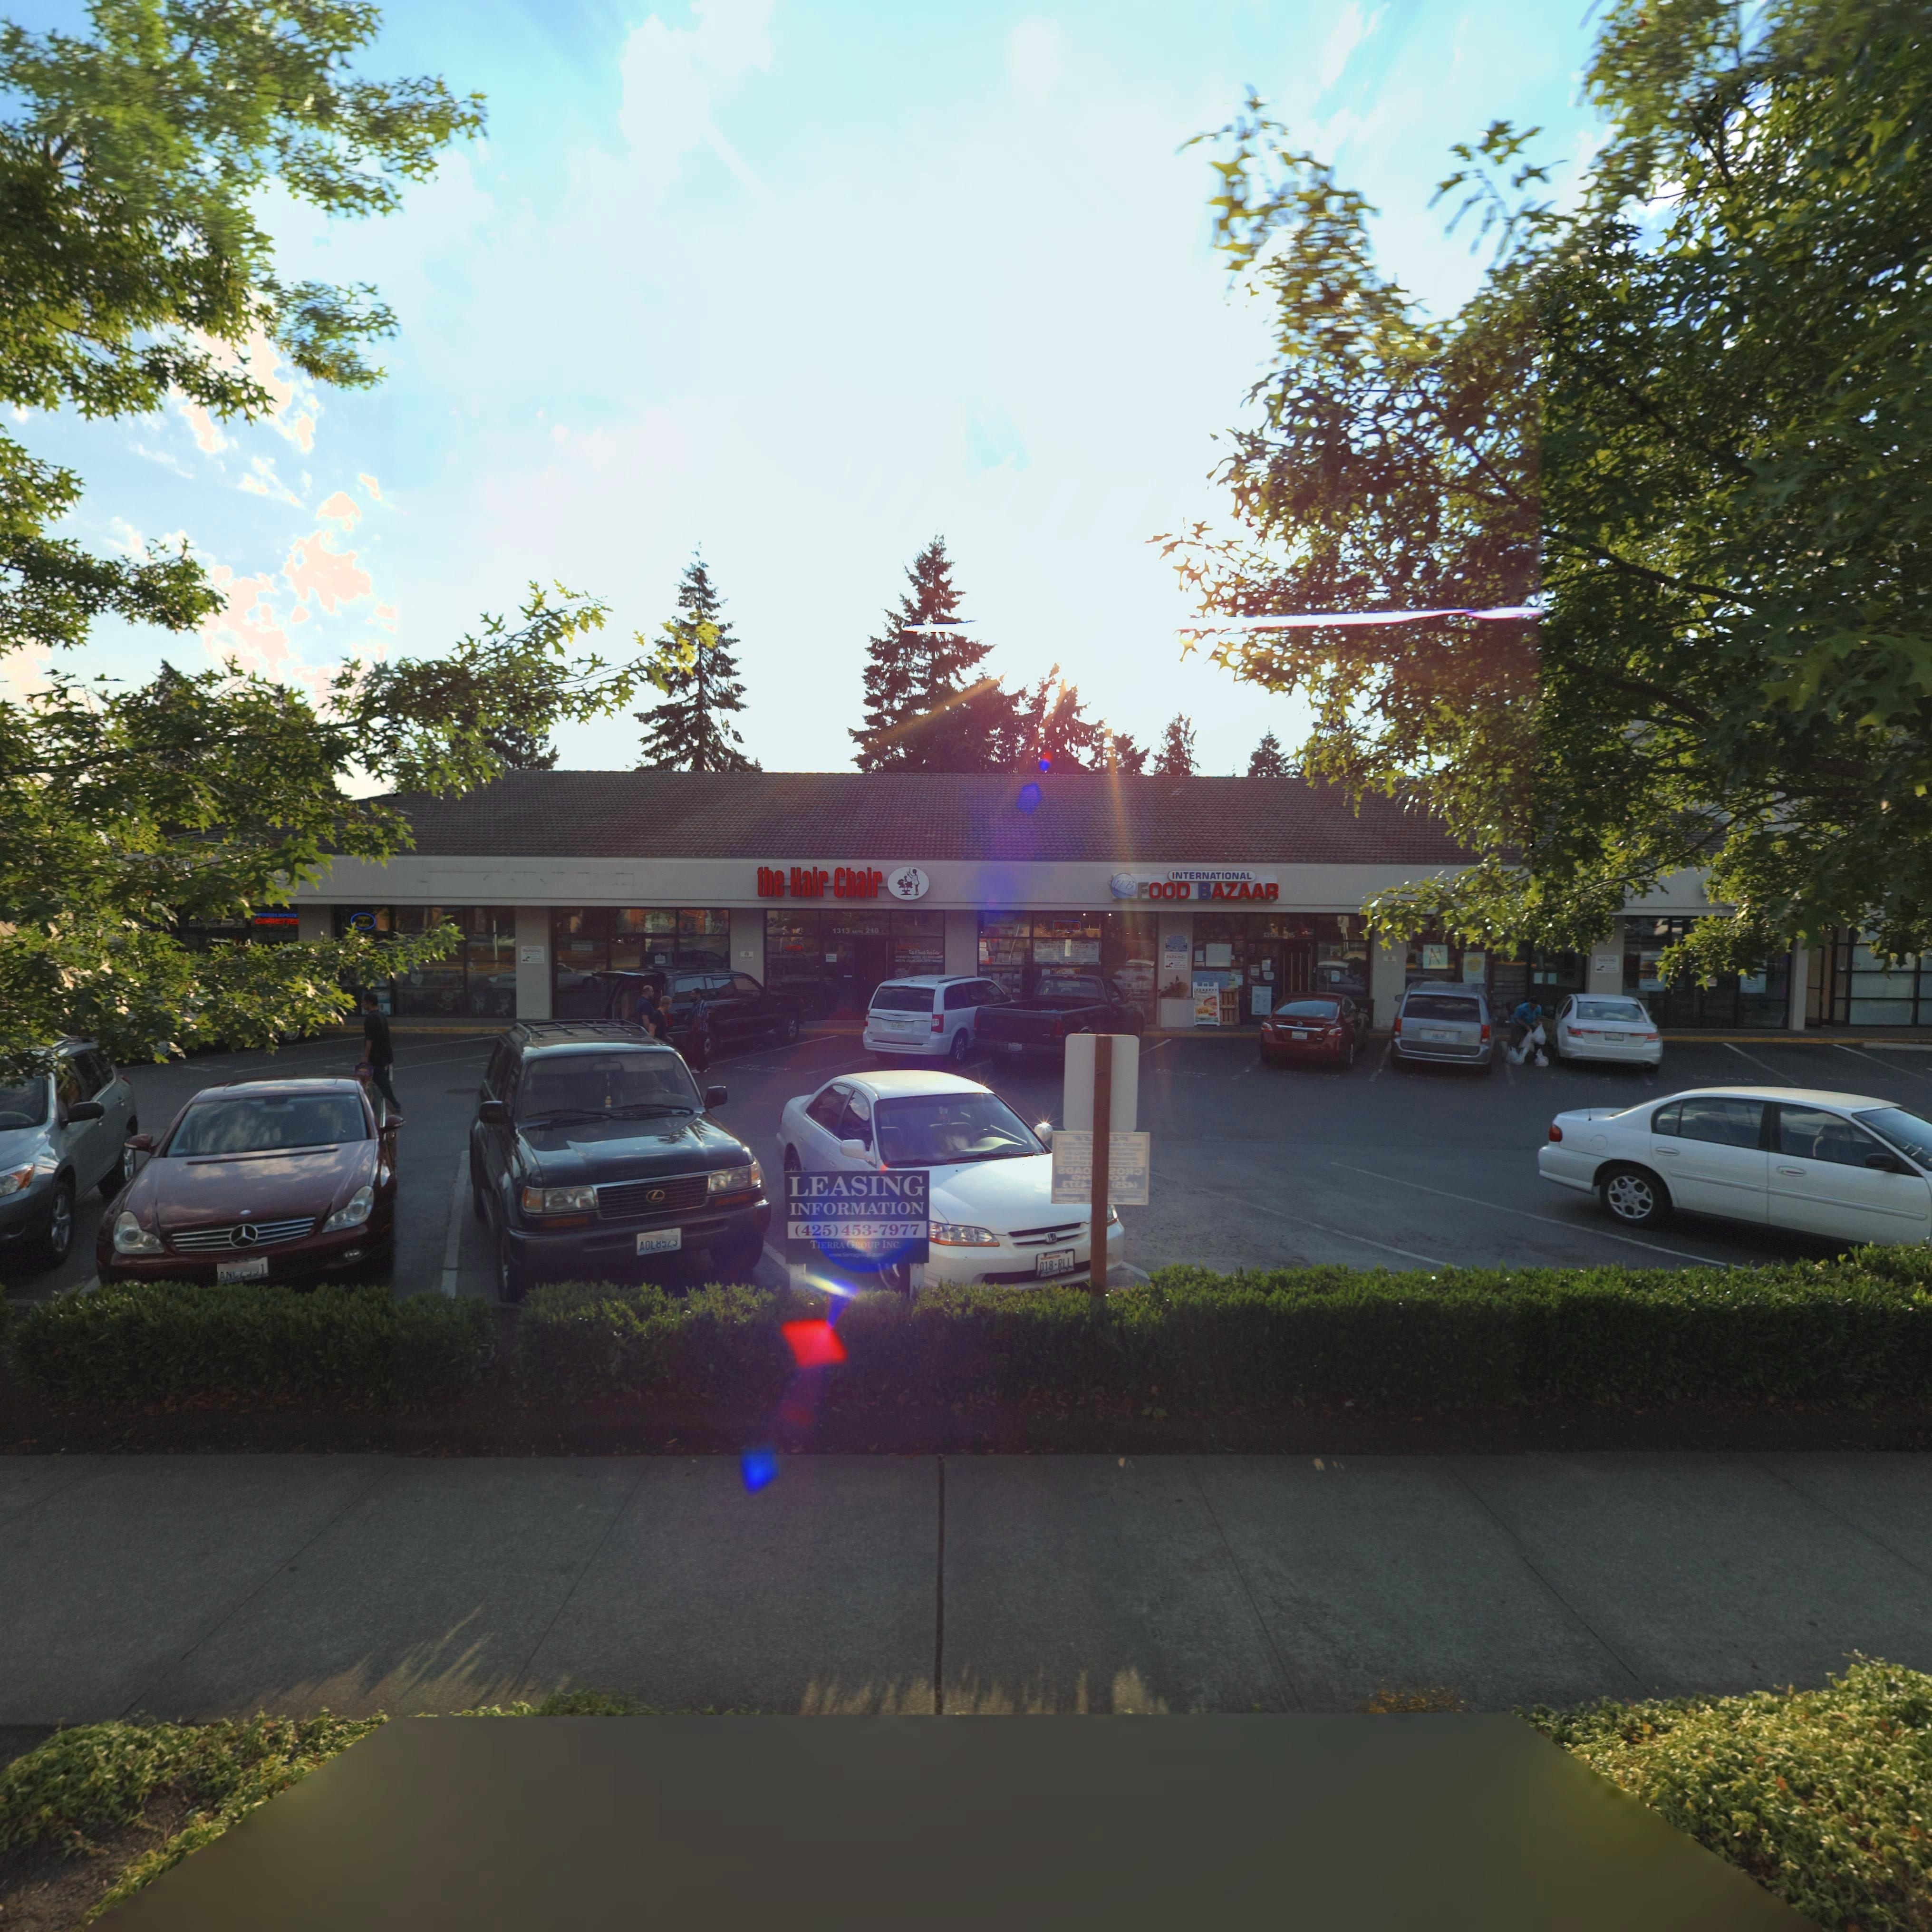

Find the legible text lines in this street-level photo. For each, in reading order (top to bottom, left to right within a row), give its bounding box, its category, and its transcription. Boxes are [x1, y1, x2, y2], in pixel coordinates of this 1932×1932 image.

[756, 866, 885, 898] BusinessName: the Hair Chair
[1136, 881, 1278, 899] BusinessName: FOOD BAZAAR
[1173, 872, 1252, 879] BusinessName: INTERNATIONAL
[831, 927, 850, 934] StreetNumber: 1313